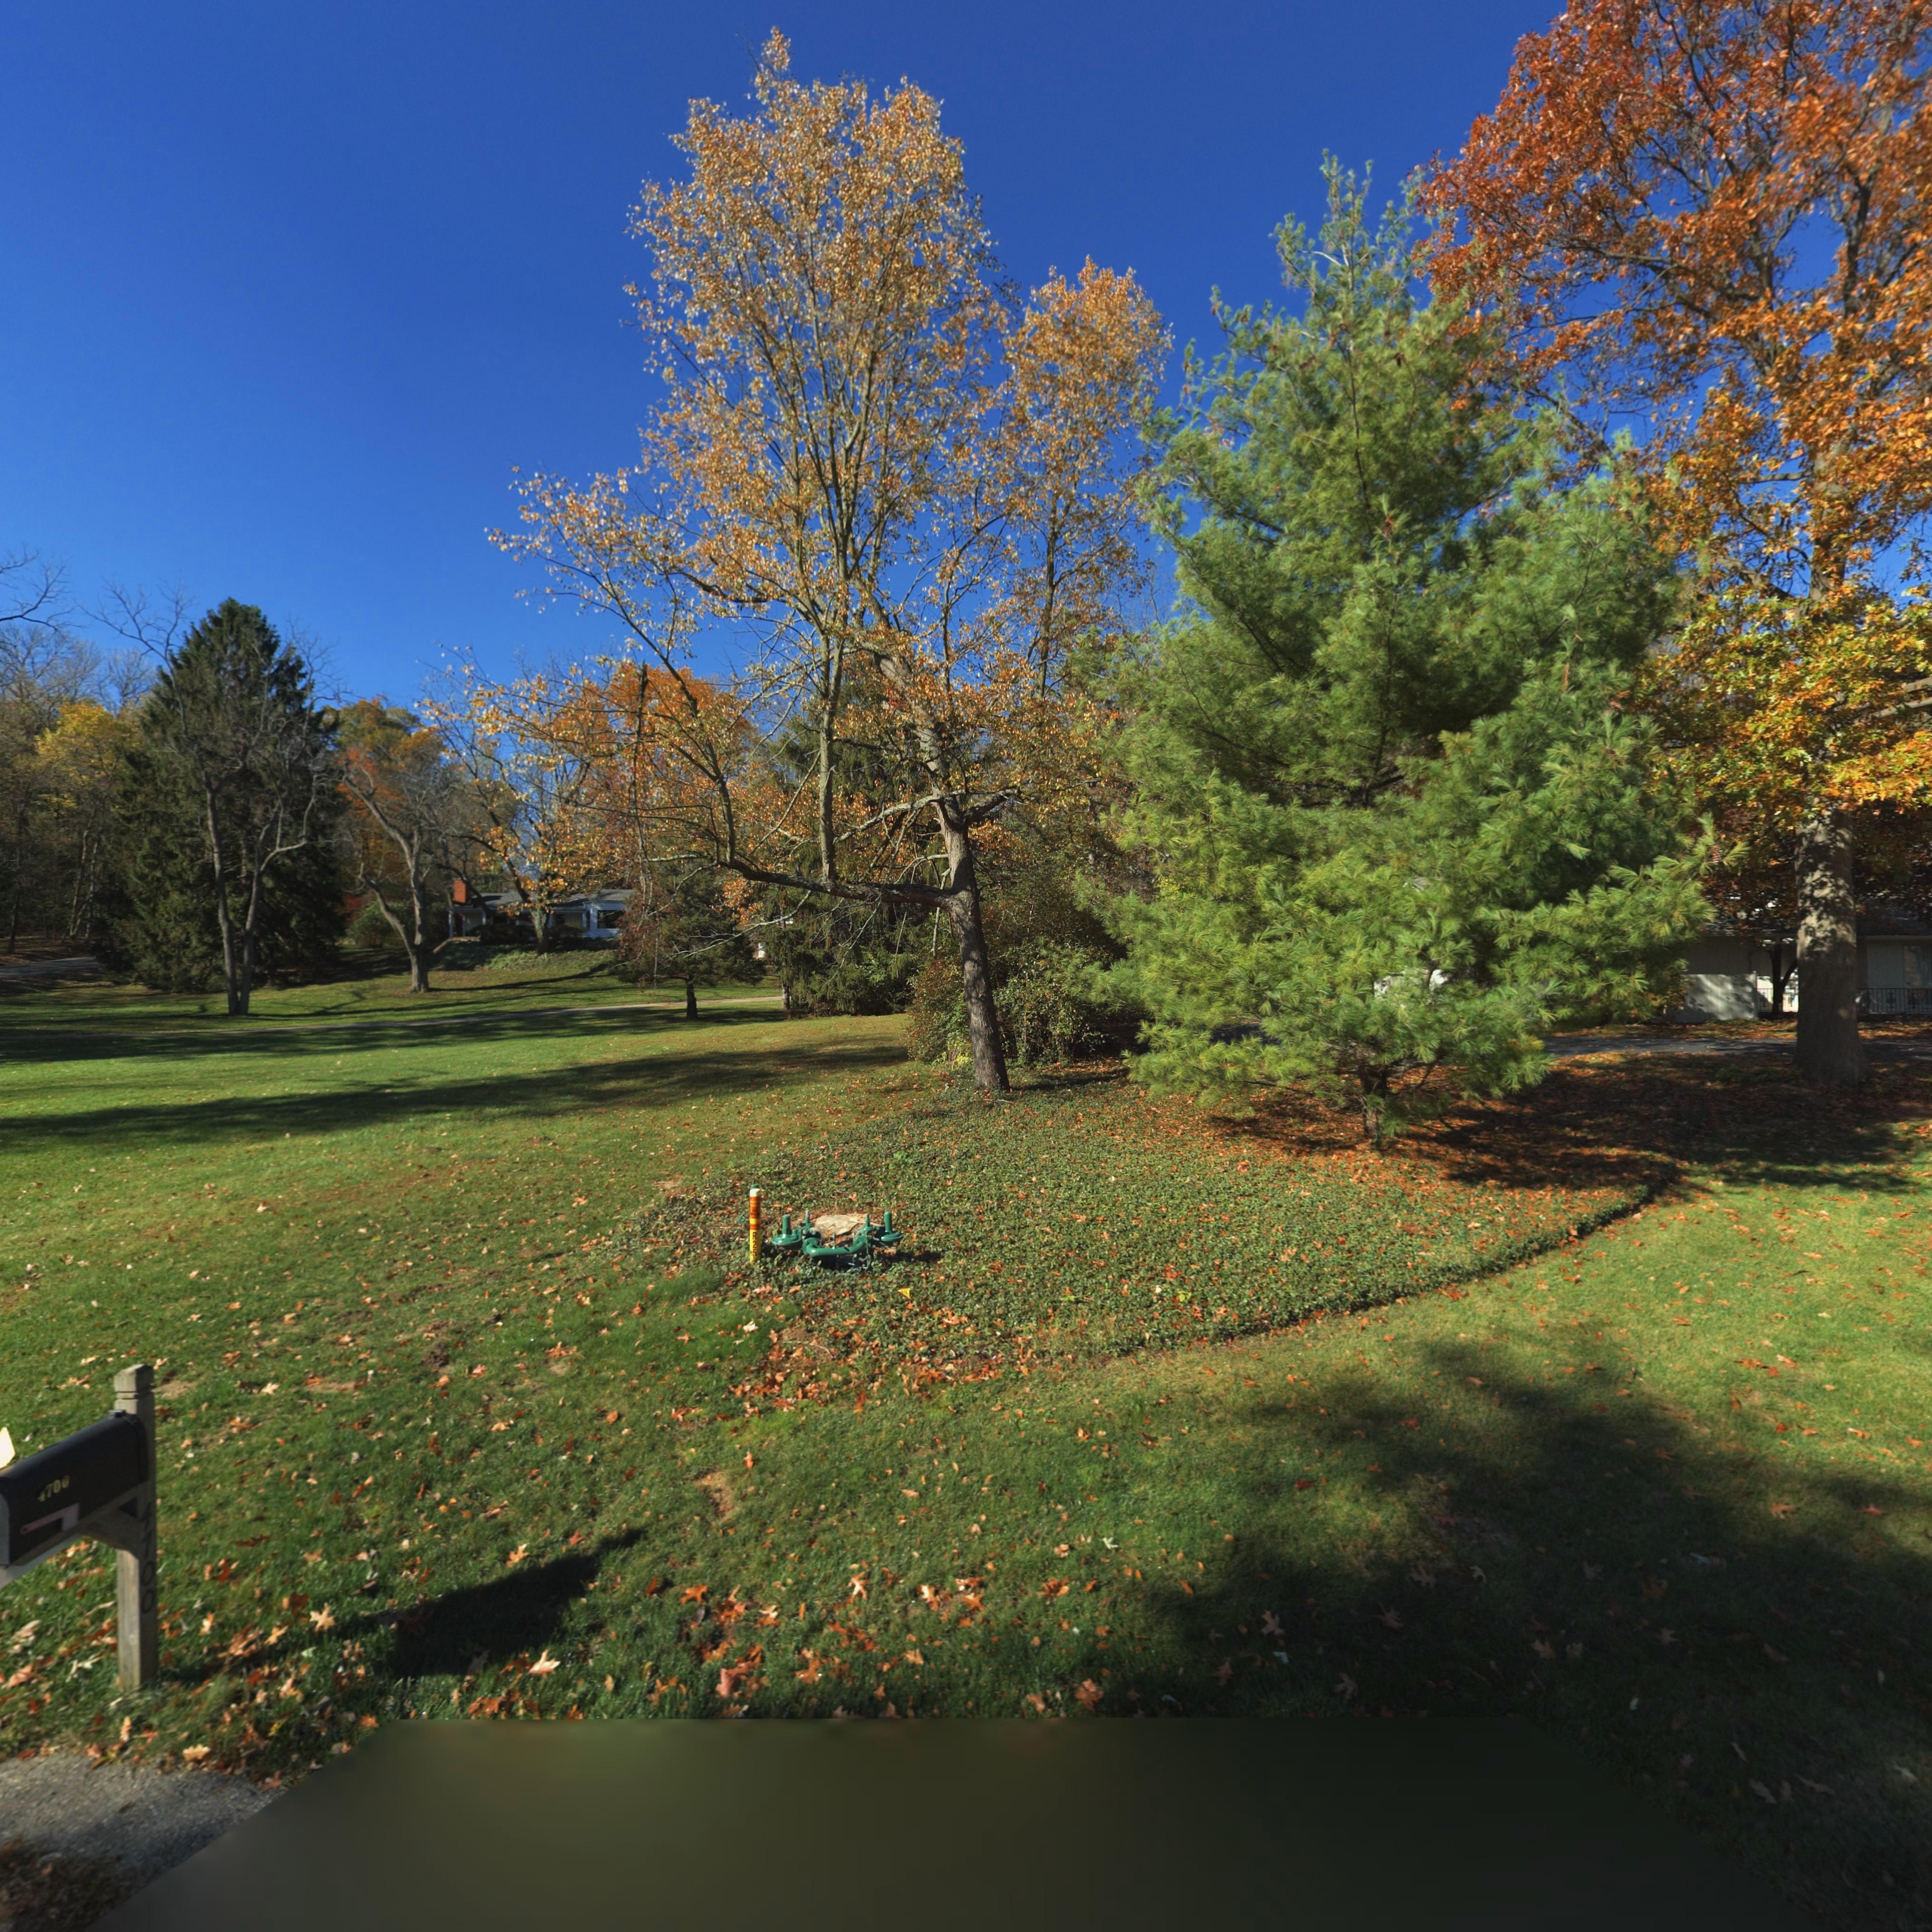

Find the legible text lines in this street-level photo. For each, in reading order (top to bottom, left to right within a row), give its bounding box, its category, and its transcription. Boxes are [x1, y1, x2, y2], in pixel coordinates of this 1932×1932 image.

[35, 1472, 70, 1506] StreetNumber: 4700
[140, 1498, 157, 1621] StreetNumber: 4700